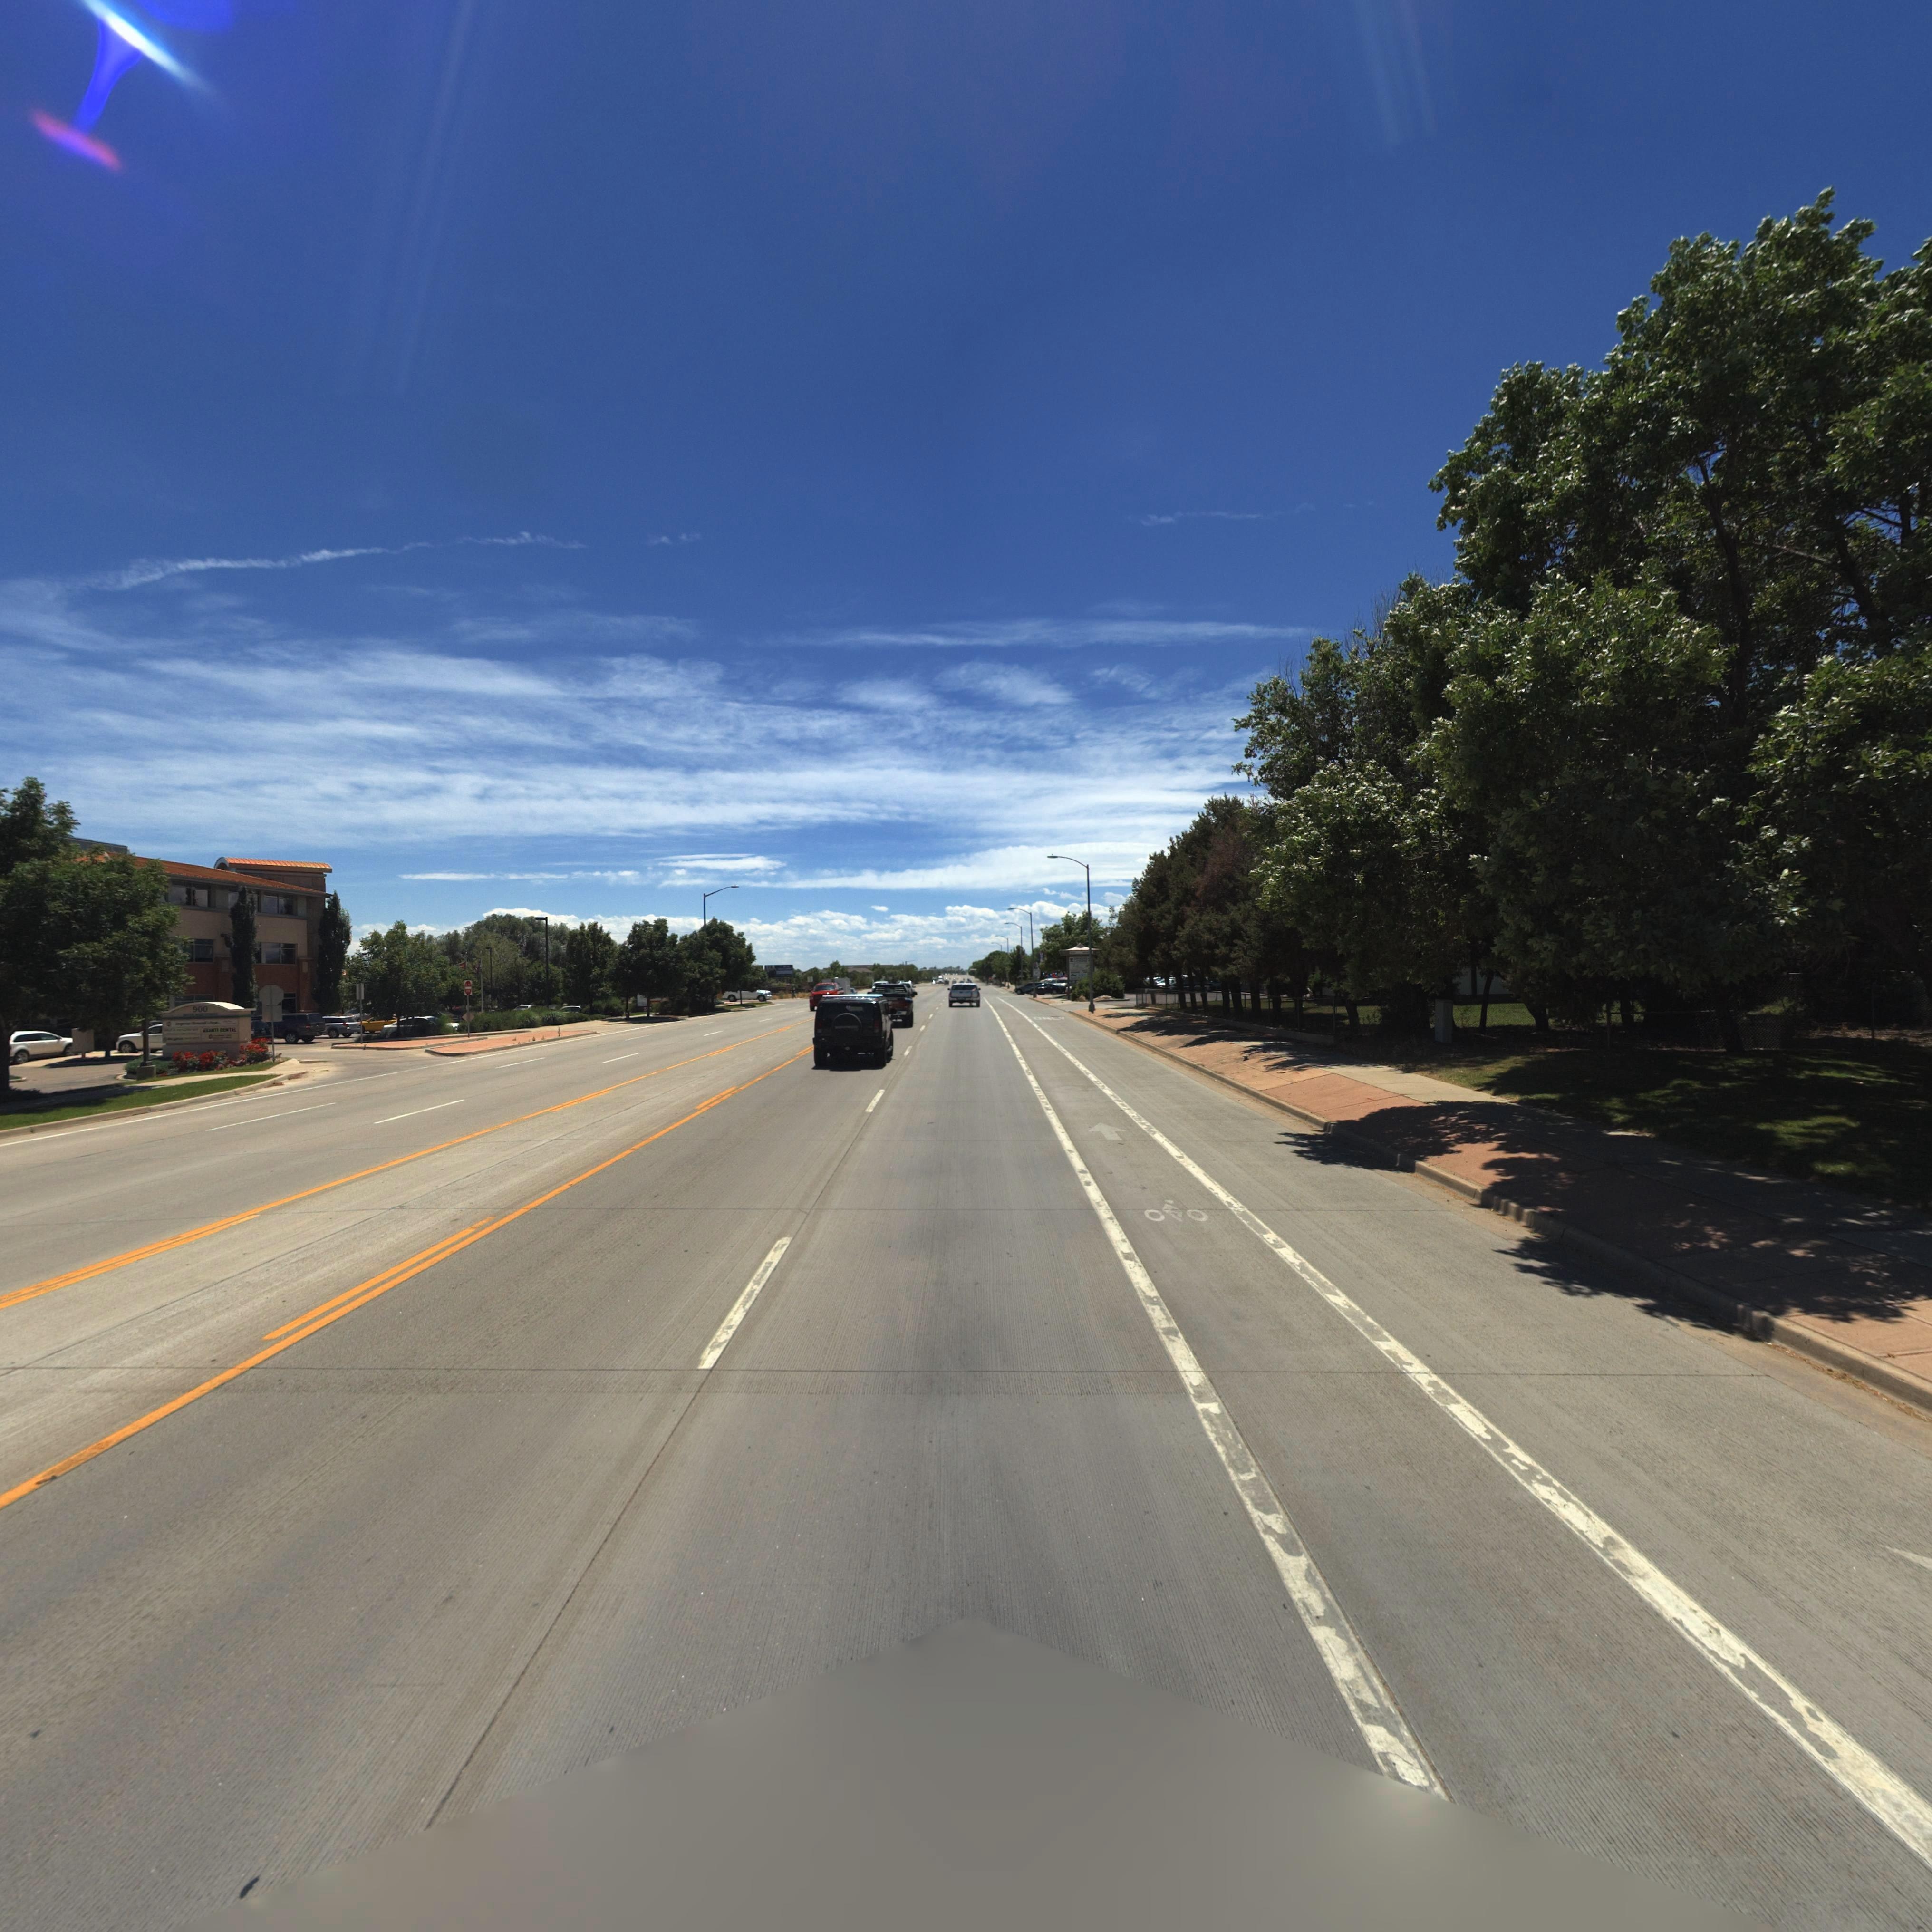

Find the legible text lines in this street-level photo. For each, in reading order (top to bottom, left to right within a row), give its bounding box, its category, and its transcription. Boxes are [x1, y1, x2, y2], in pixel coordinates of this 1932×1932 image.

[192, 1005, 208, 1013] StreetNumber: 900